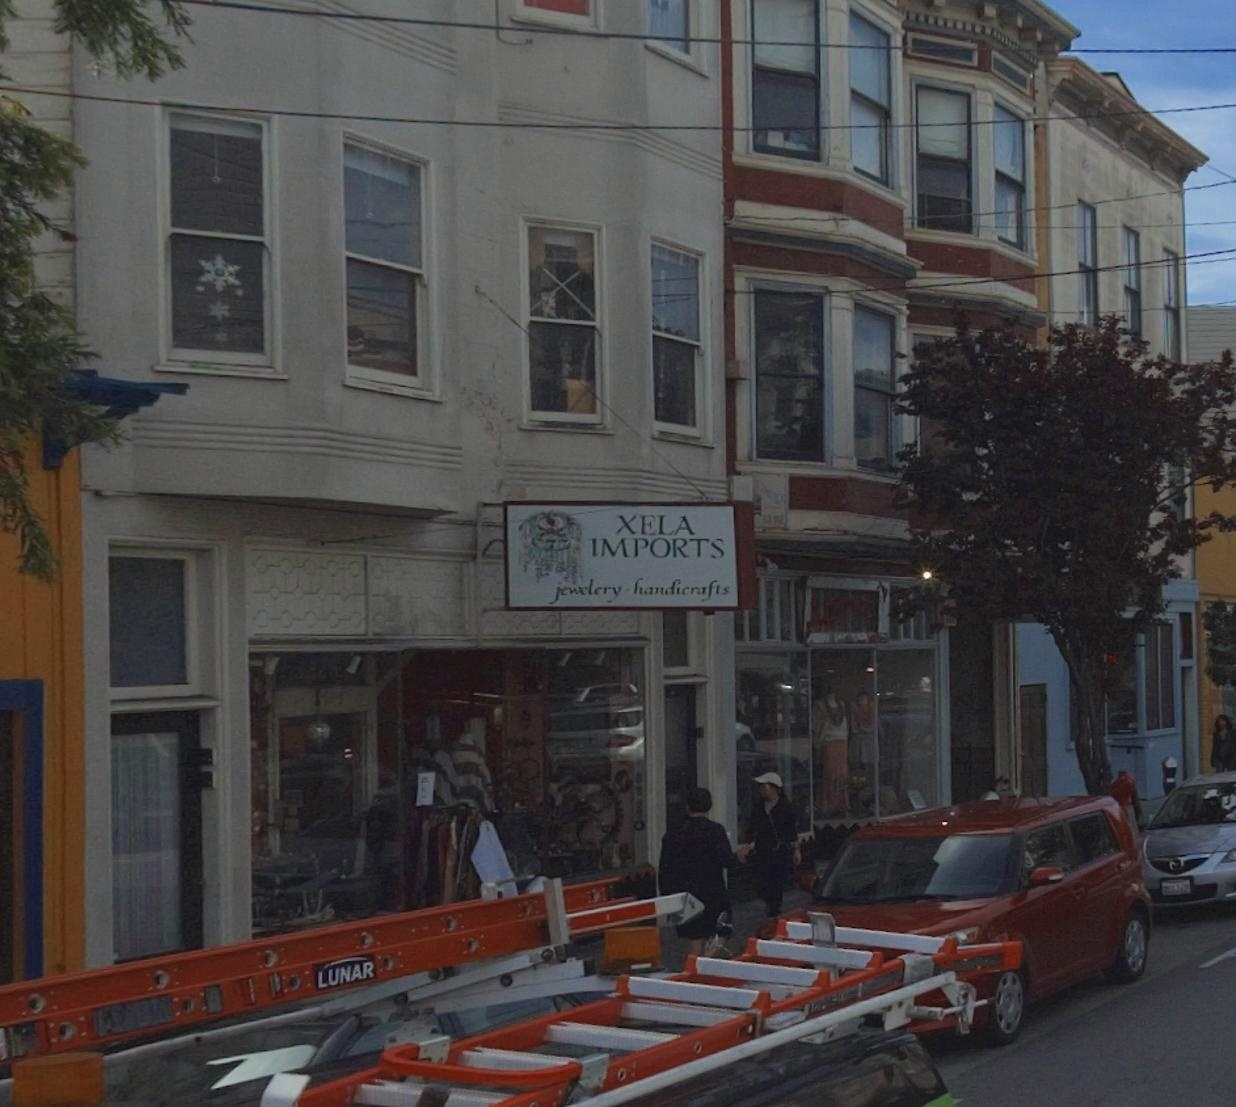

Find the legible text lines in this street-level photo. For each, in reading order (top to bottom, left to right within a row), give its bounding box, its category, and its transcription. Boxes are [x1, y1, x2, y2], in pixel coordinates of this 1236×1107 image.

[614, 514, 696, 538] BusinessName: XELA
[589, 536, 726, 559] BusinessName: IMPORTS
[545, 577, 730, 604] None: jewelry - handicrafts
[316, 958, 378, 992] None: LUNAR